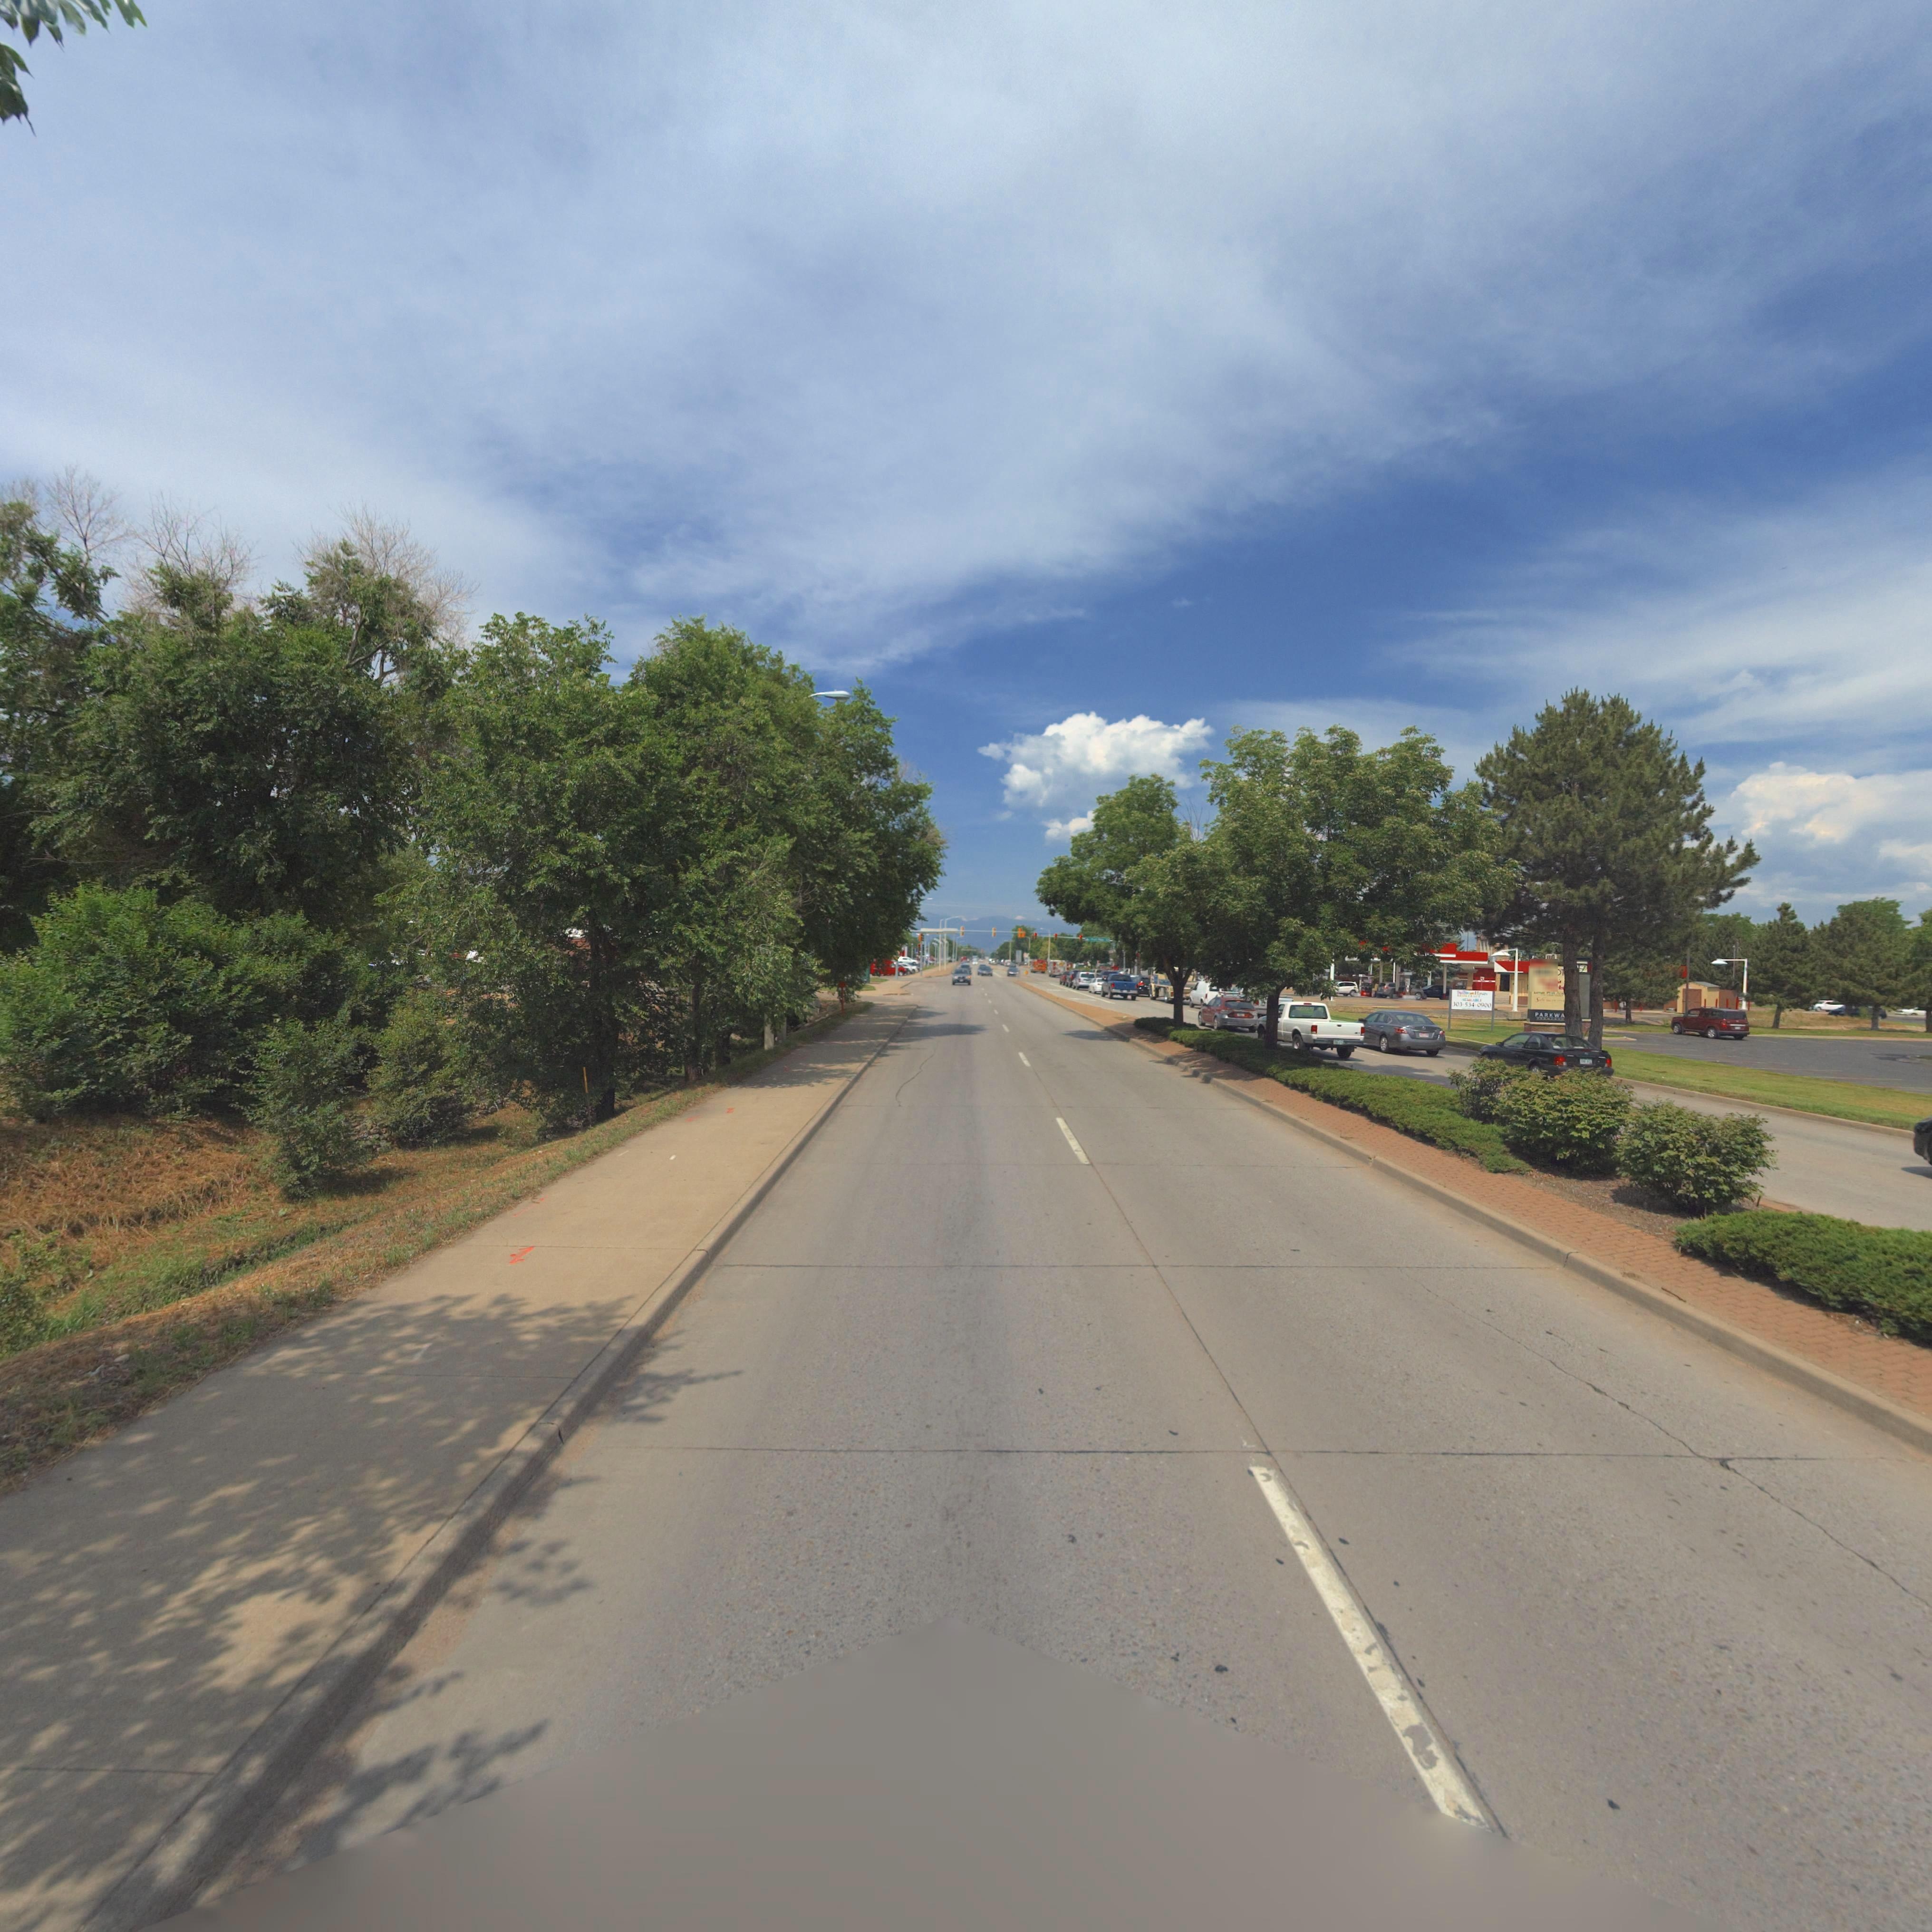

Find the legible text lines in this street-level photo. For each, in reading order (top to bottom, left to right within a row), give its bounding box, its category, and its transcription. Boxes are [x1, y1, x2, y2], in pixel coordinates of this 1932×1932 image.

[1537, 976, 1562, 985] BusinessName: Lucky's
[1543, 984, 1564, 990] BusinessName: Mark**